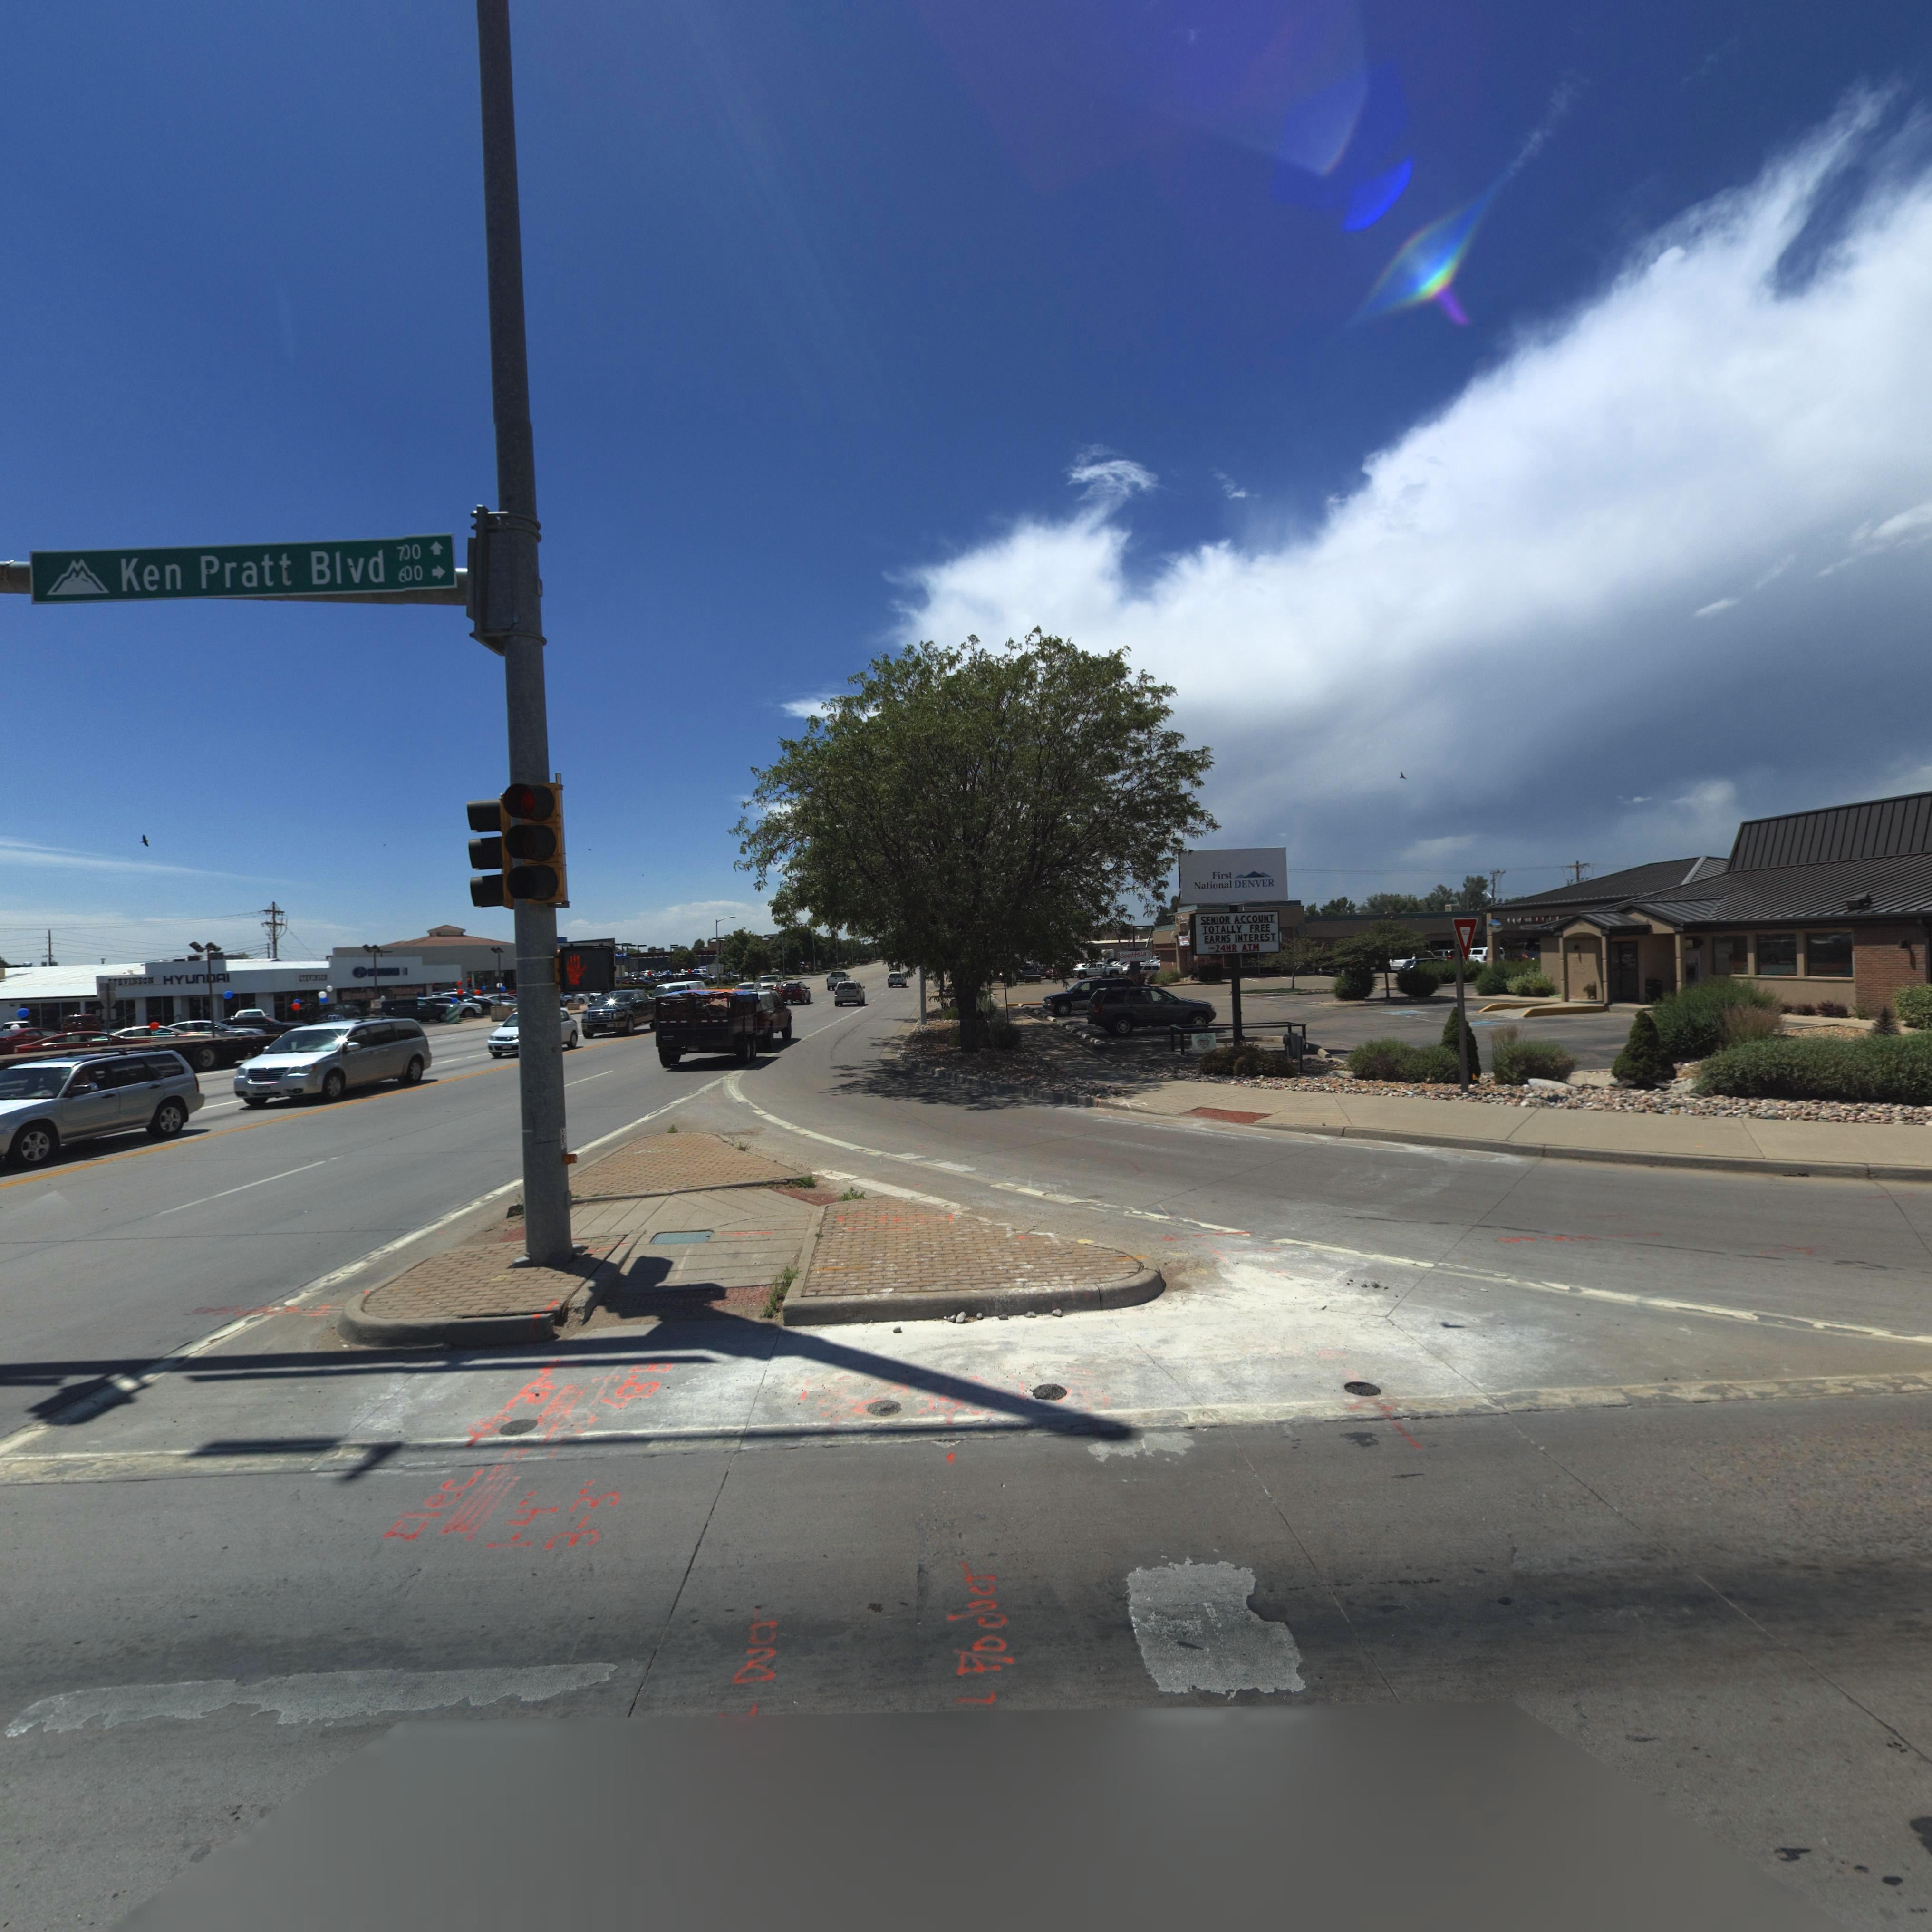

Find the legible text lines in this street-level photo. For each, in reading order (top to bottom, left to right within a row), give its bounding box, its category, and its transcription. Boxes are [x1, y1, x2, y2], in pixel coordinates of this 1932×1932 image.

[395, 543, 422, 561] StreetNumberRange: *00
[119, 548, 385, 591] StreetName: Ken Pratt Blvd
[398, 565, 446, 583] StreetNumberRange: *00->
[1212, 870, 1232, 879] BusinessName: First
[1193, 879, 1273, 889] BusinessName: National DENVER
[108, 977, 154, 985] BusinessName: **EVINSON
[163, 973, 230, 984] BusinessName: HYUN*AI
[299, 974, 328, 982] BusinessName: STEVINSON